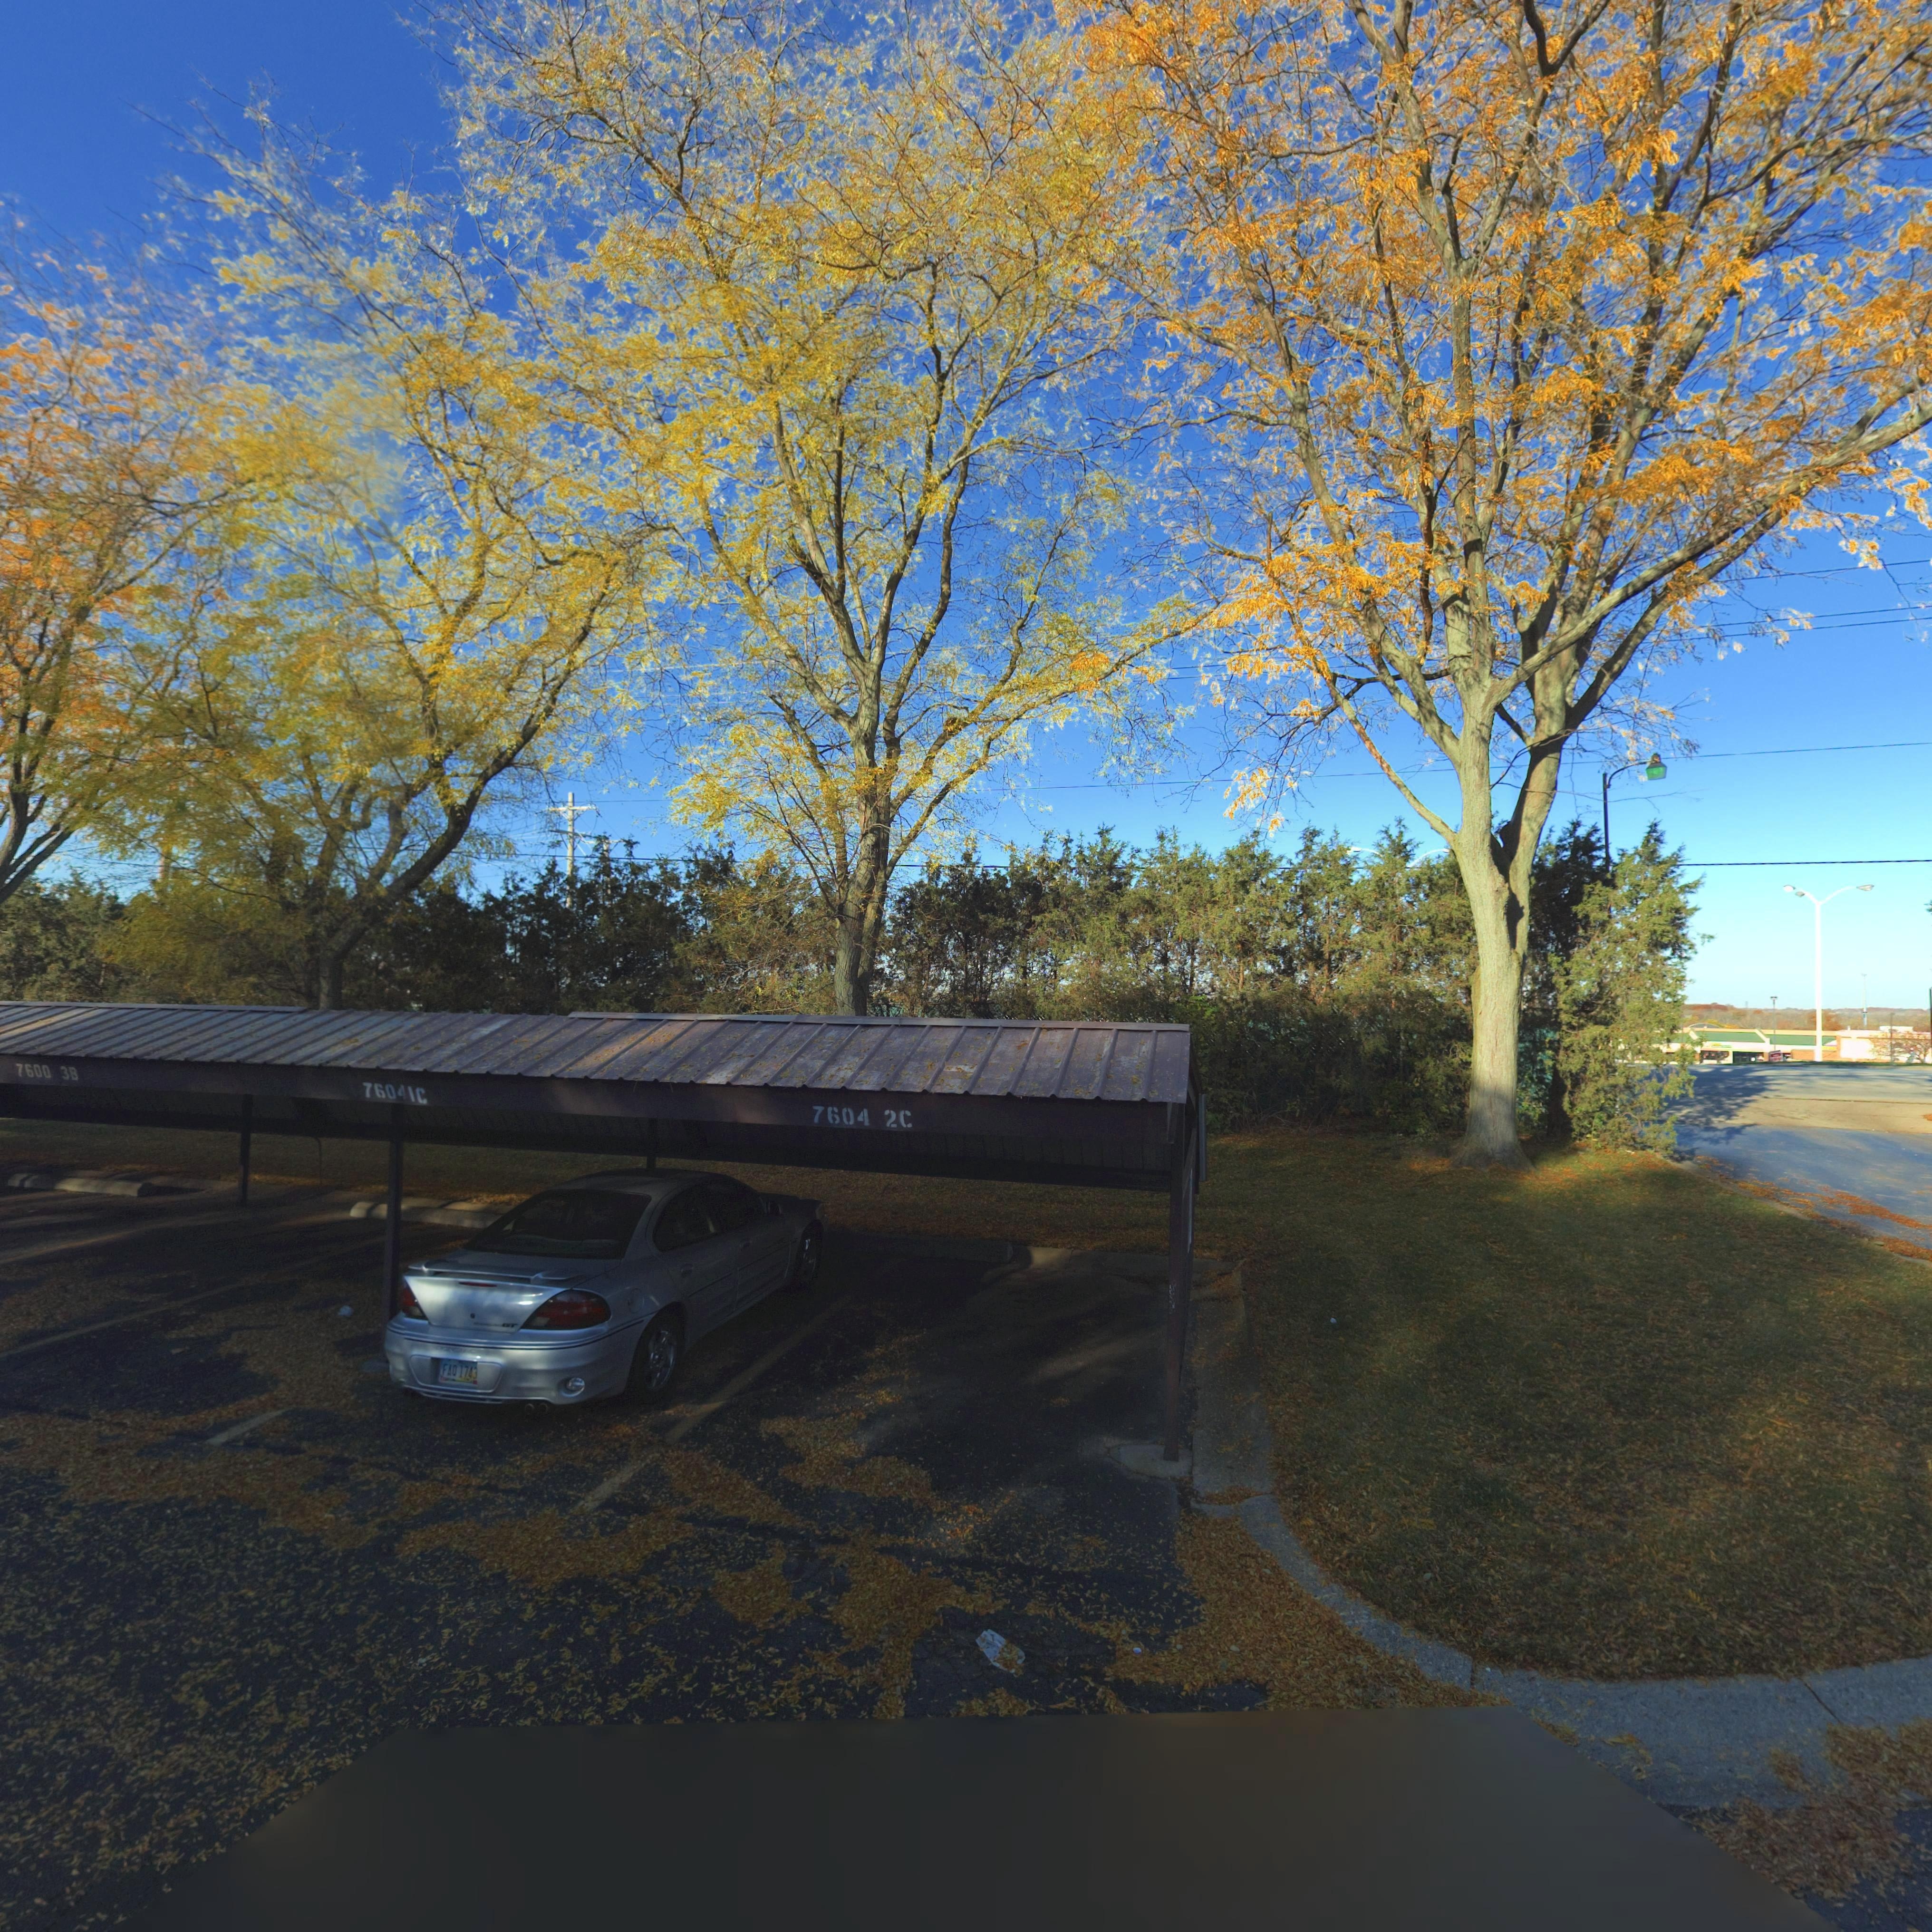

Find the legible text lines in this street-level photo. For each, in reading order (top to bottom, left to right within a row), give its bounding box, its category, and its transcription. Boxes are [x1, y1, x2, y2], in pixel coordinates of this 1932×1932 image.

[15, 1062, 52, 1078] StreetNumber: 7600
[361, 1082, 408, 1101] StreetNumber: 7604
[812, 1104, 871, 1127] StreetNumber: 7604